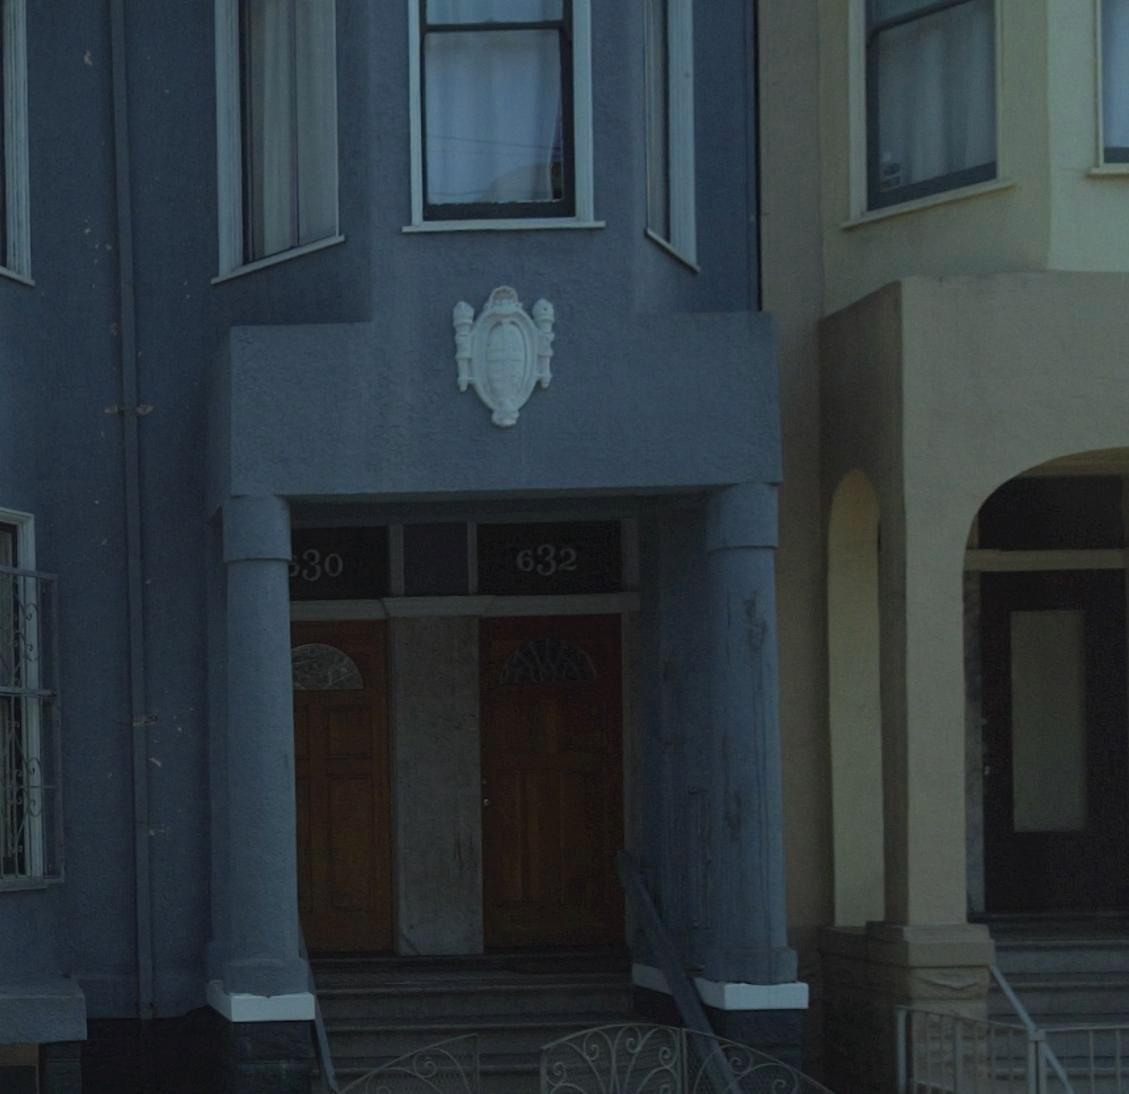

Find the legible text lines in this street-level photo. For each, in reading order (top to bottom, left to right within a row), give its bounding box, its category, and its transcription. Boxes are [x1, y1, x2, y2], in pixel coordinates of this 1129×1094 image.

[299, 546, 346, 584] None: 30
[514, 542, 581, 579] StreetNumber: 632